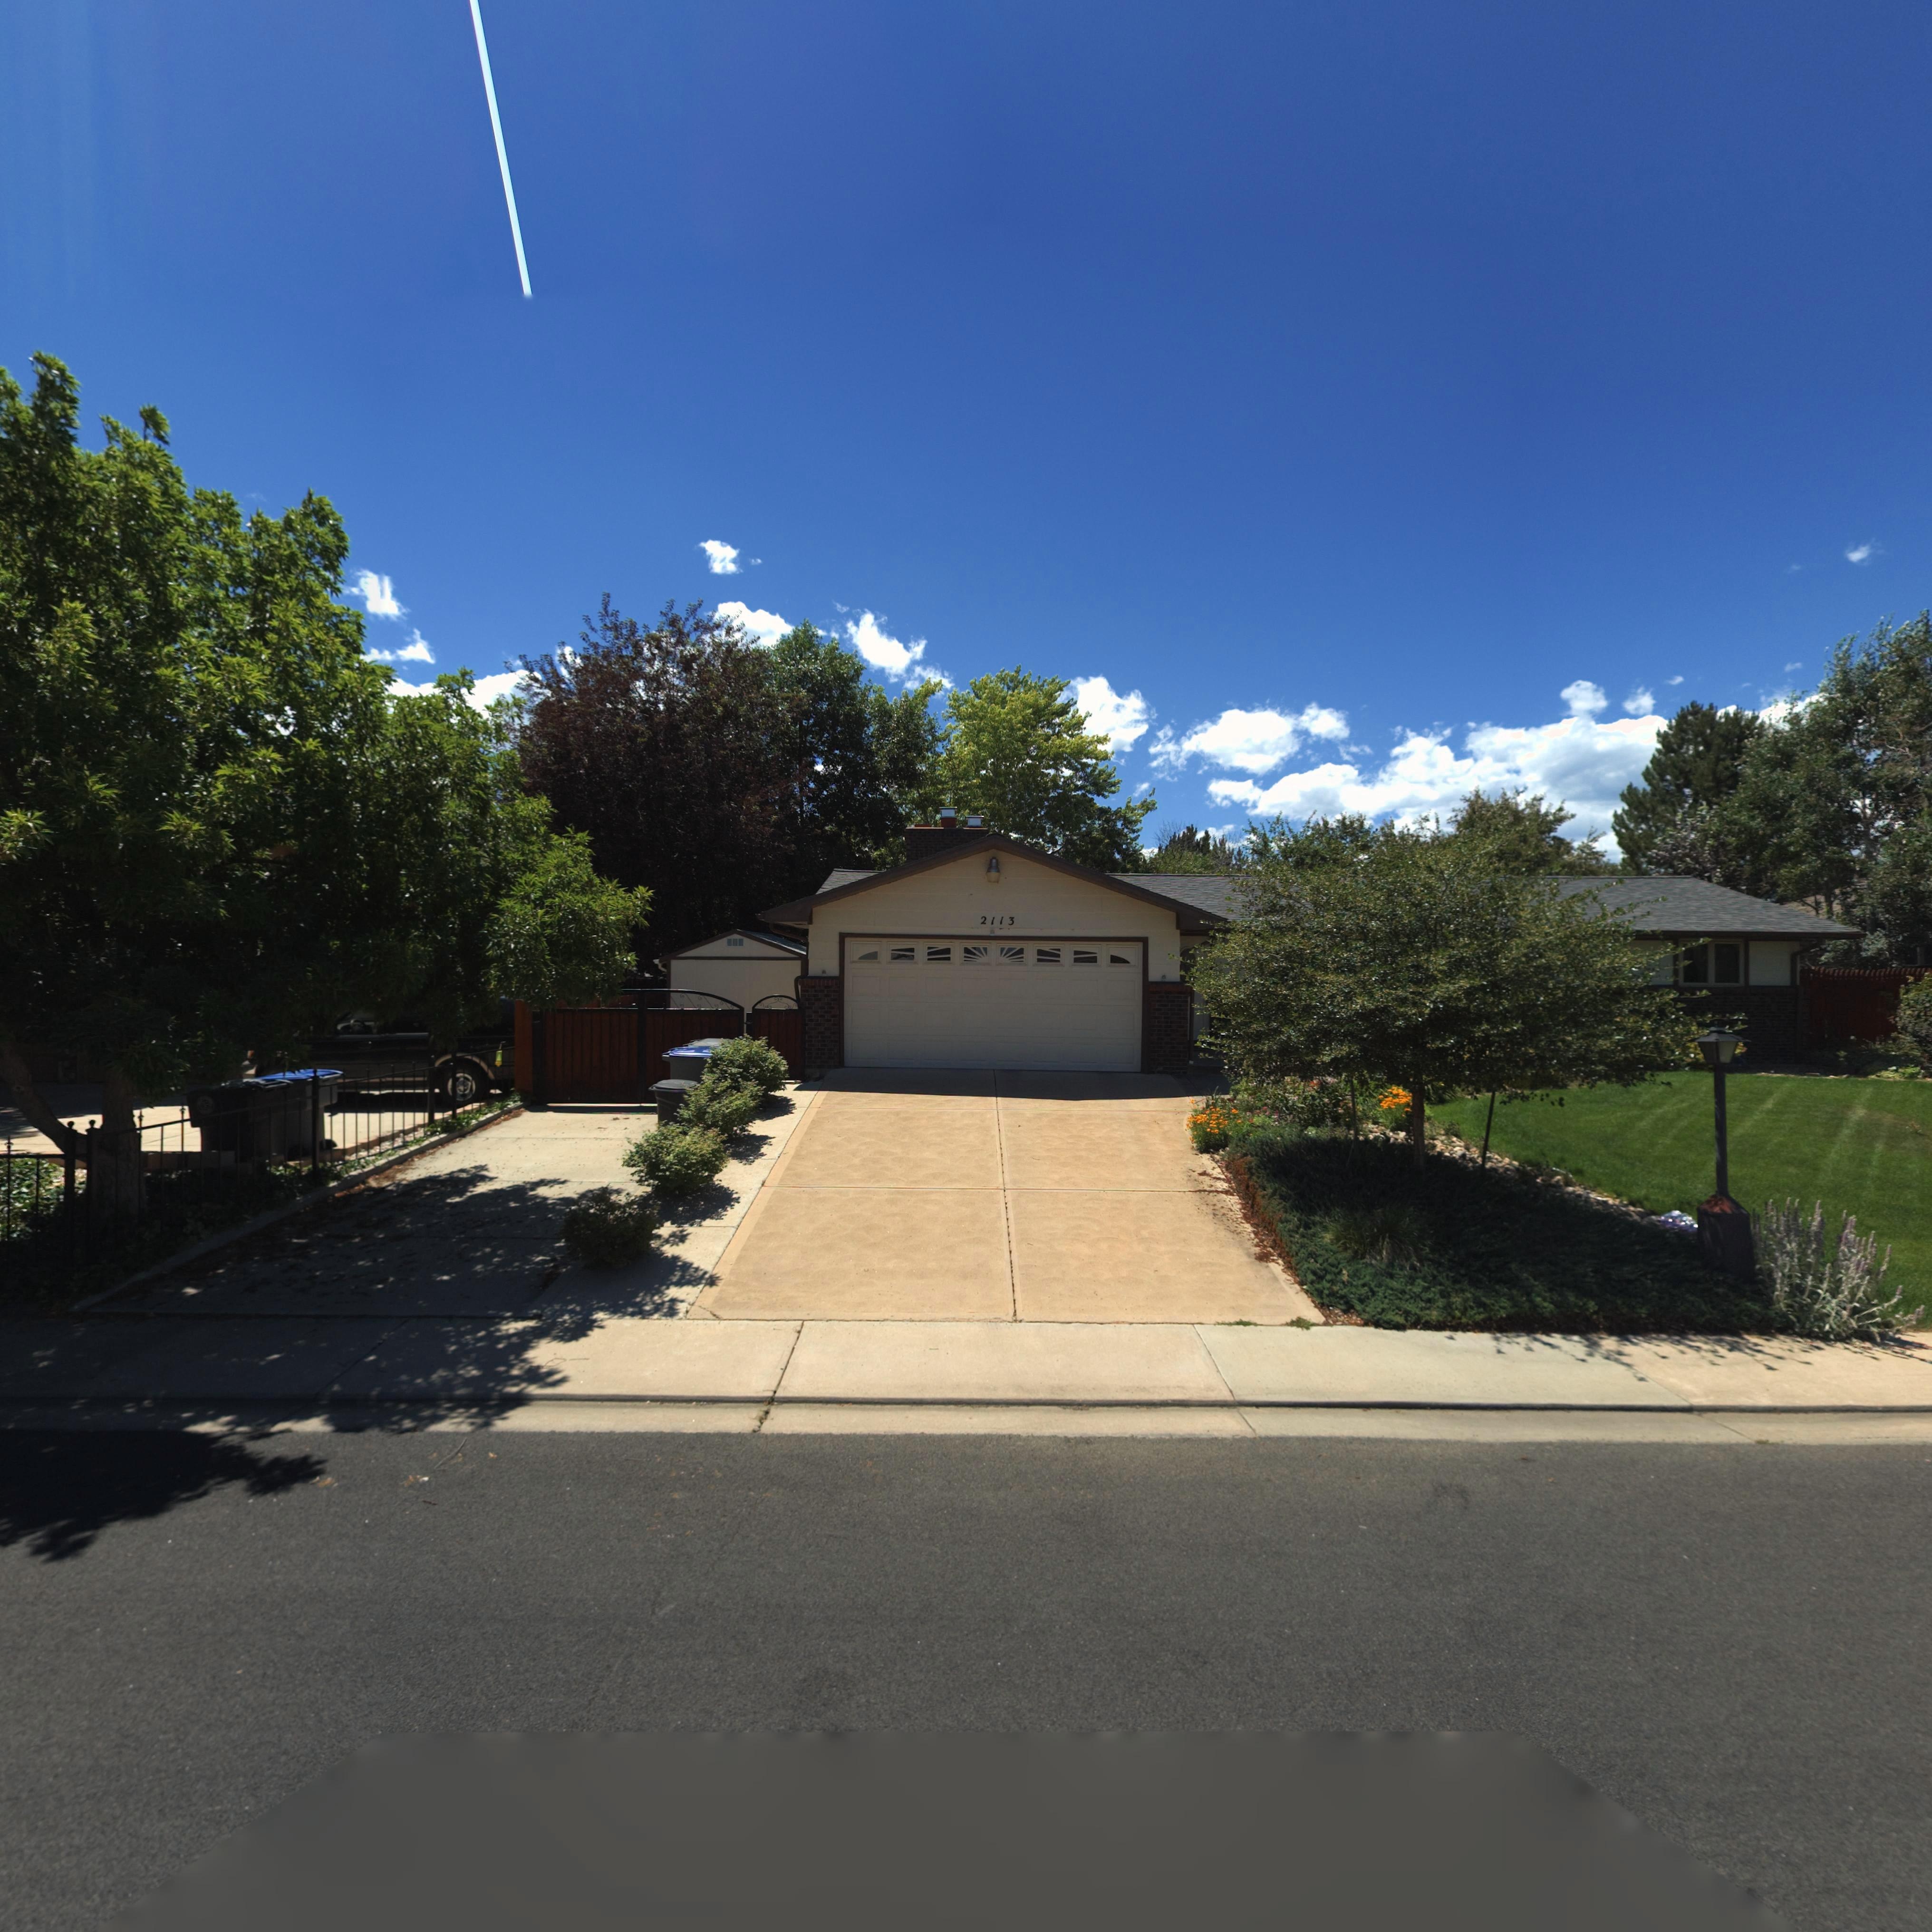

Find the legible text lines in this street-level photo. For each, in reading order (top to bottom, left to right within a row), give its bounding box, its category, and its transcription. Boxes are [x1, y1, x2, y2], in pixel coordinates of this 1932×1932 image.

[980, 915, 1015, 926] StreetNumber: 2113